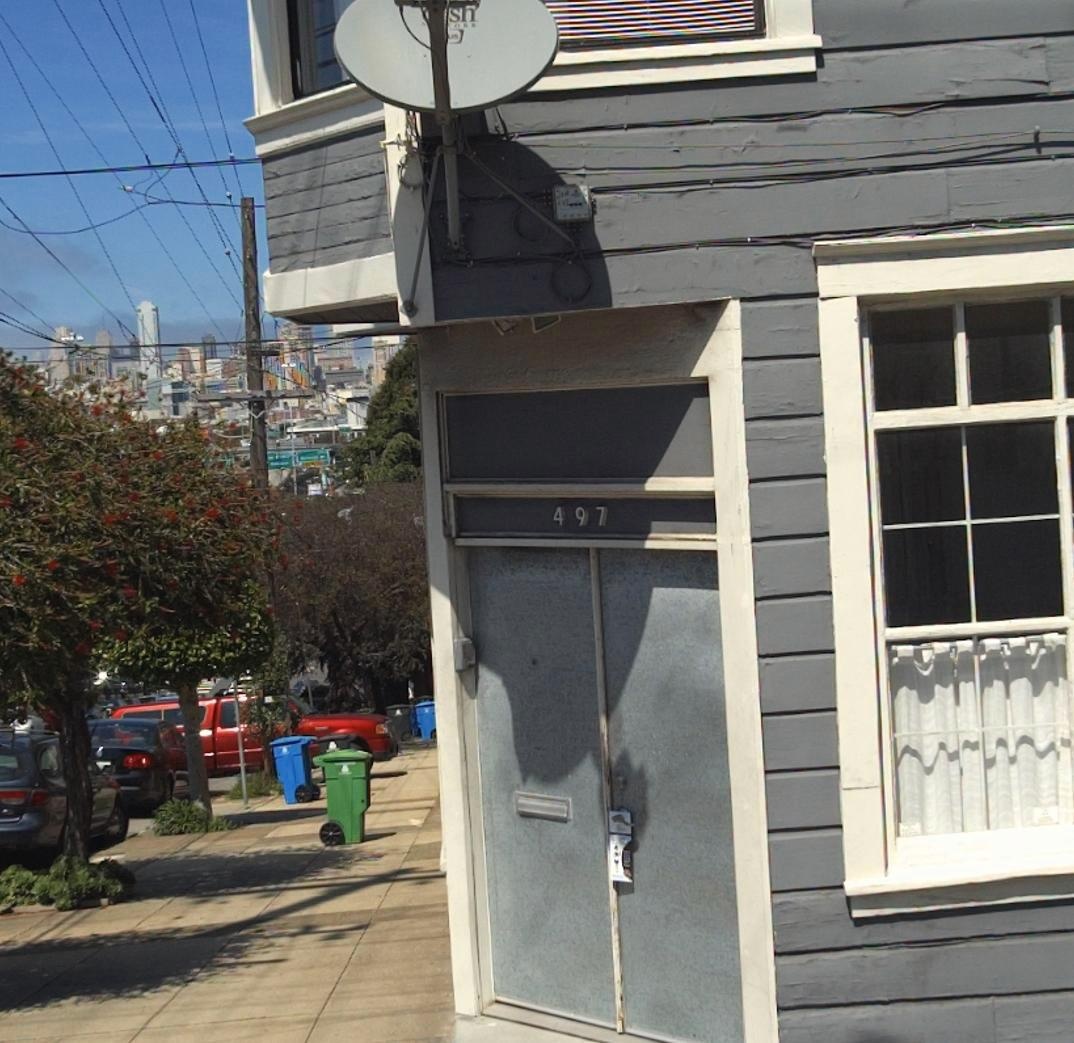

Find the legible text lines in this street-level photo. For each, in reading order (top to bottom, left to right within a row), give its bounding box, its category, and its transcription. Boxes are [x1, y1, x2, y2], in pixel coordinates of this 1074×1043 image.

[551, 503, 609, 529] StreetNumber: 497